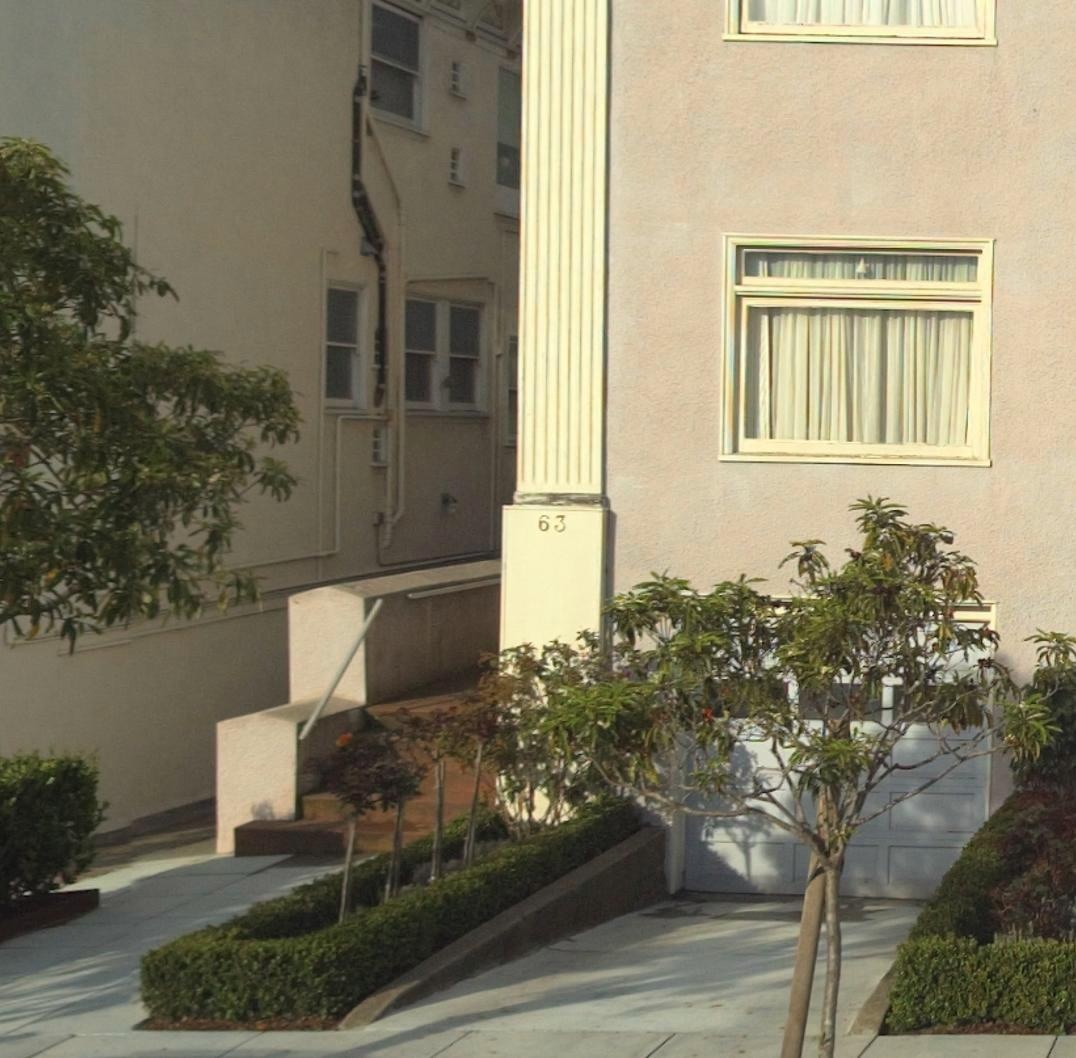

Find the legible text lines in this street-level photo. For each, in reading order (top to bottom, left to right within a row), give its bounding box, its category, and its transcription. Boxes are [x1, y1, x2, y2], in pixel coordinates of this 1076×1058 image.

[536, 512, 569, 535] StreetNumber: 63